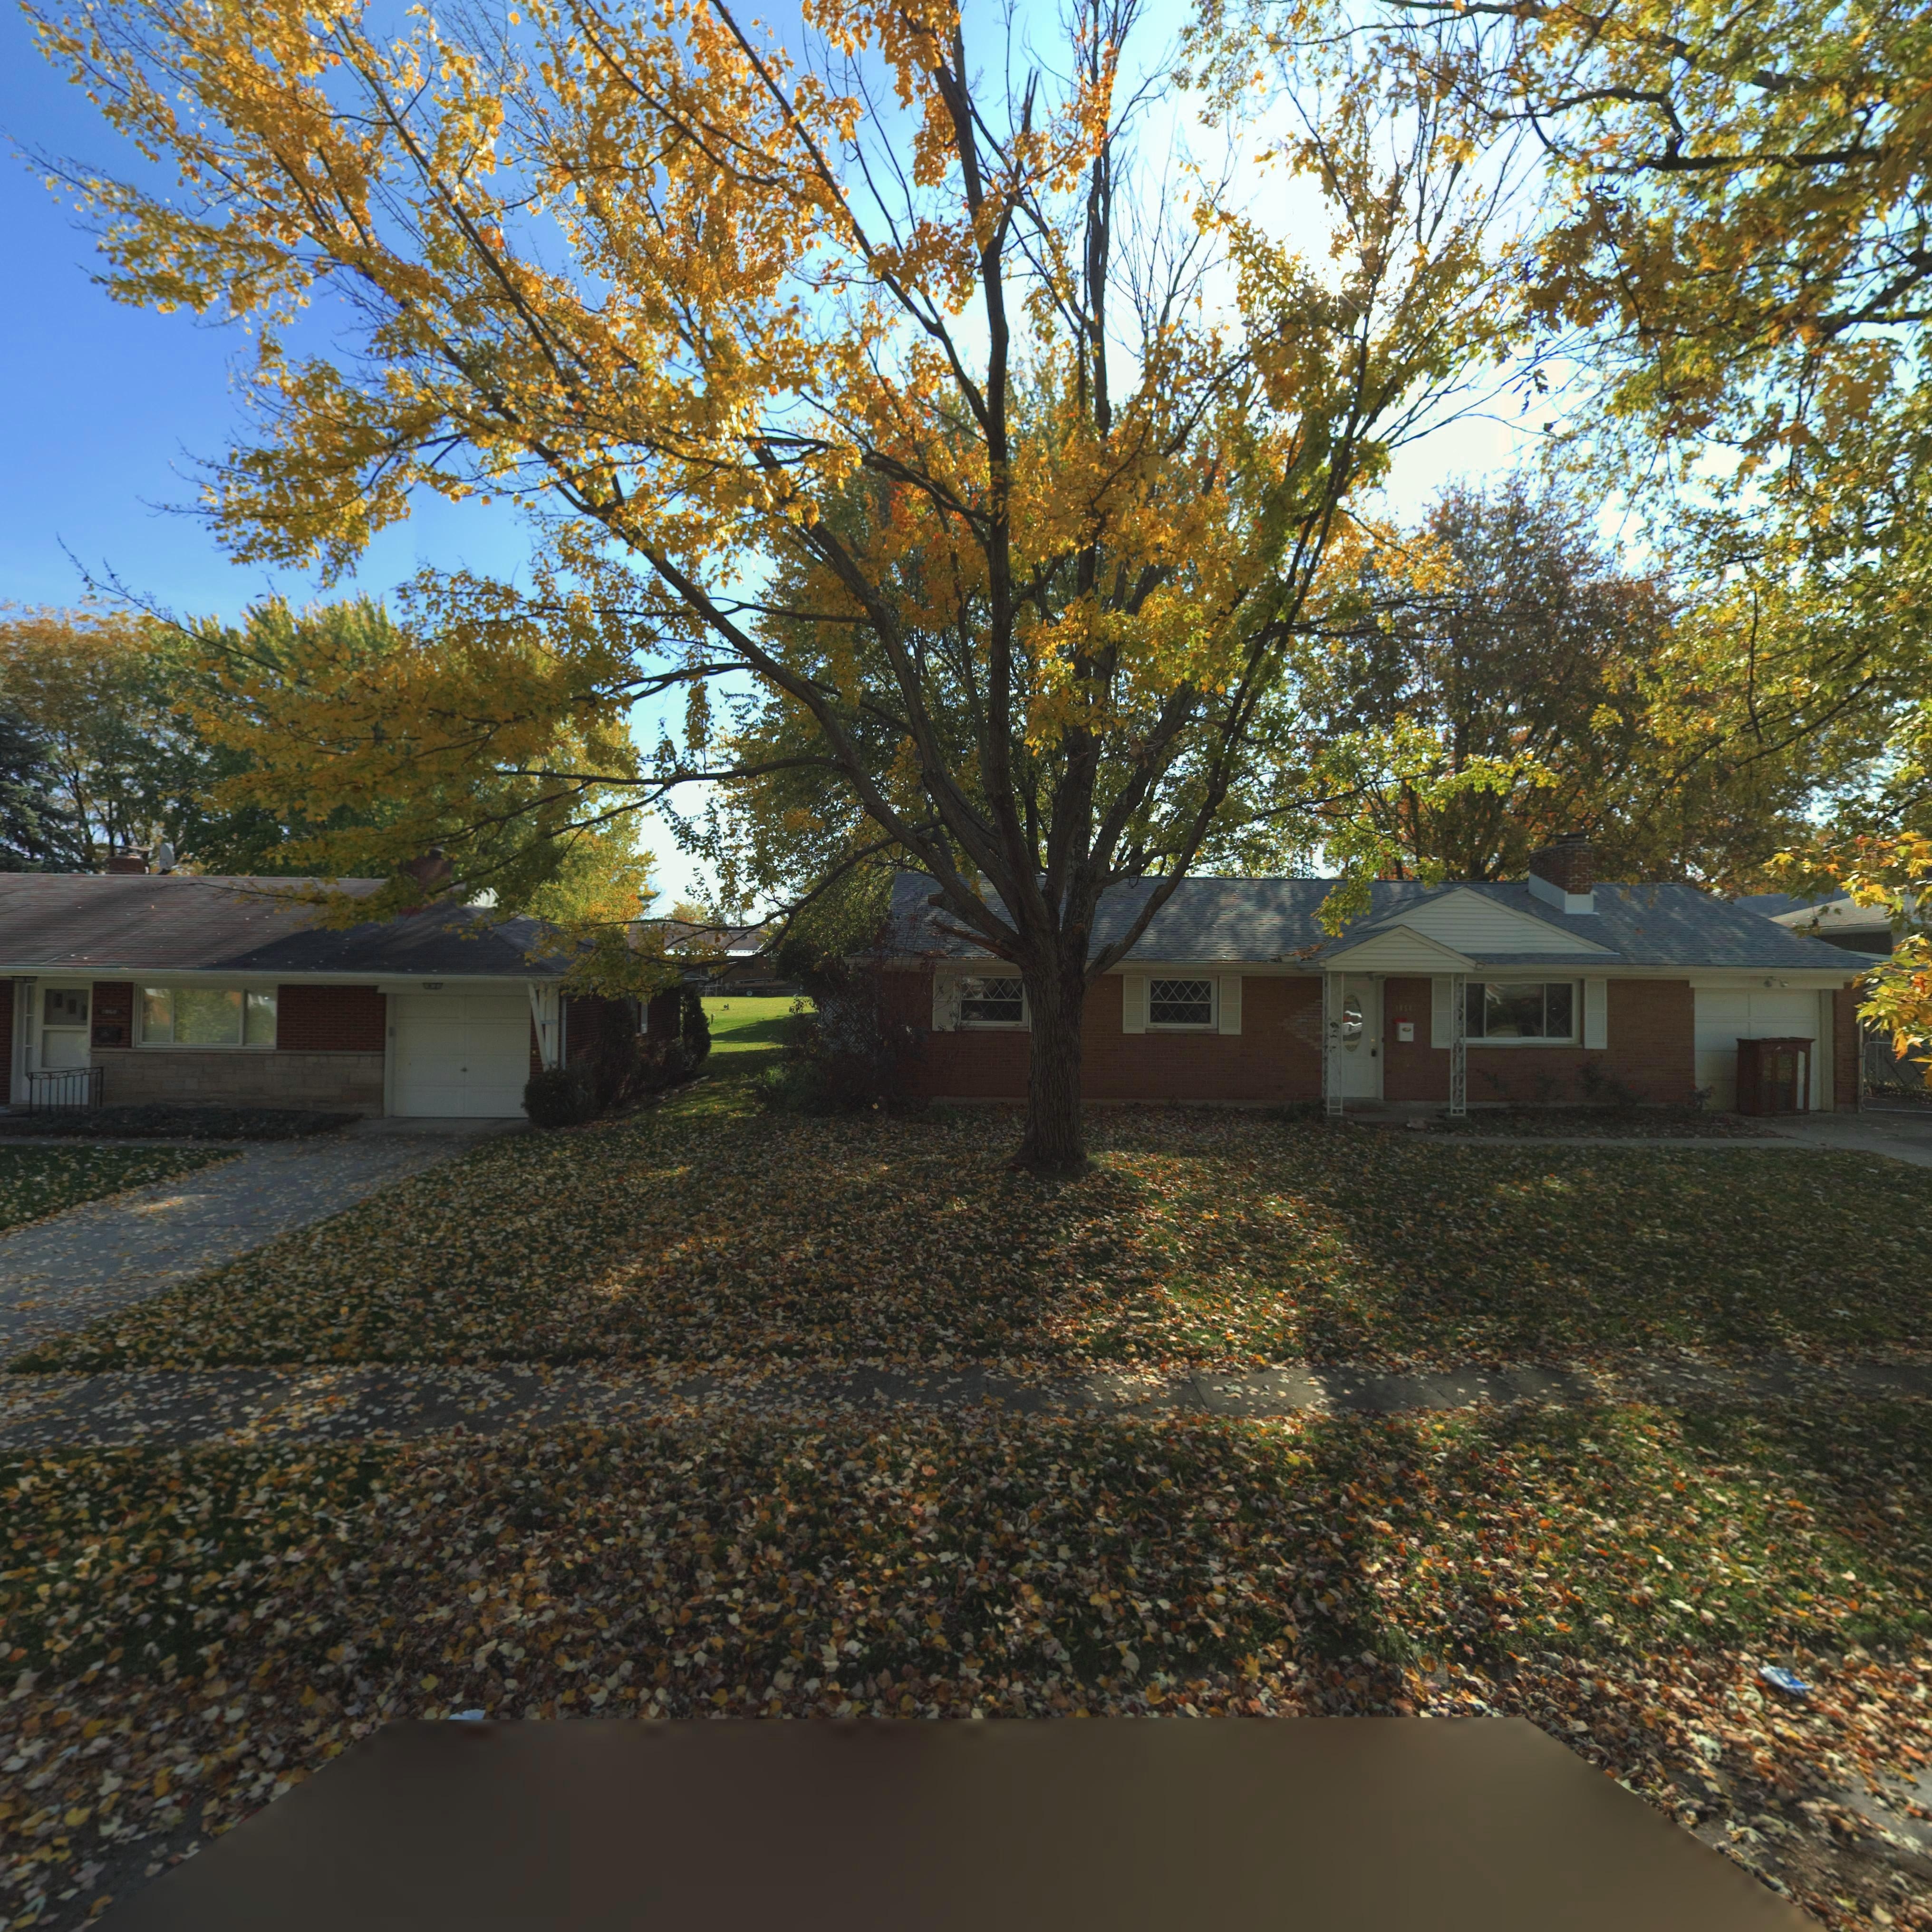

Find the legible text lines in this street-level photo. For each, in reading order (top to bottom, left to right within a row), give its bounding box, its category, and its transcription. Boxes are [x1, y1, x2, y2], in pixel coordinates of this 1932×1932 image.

[1395, 1005, 1411, 1012] StreetNumber: 1054